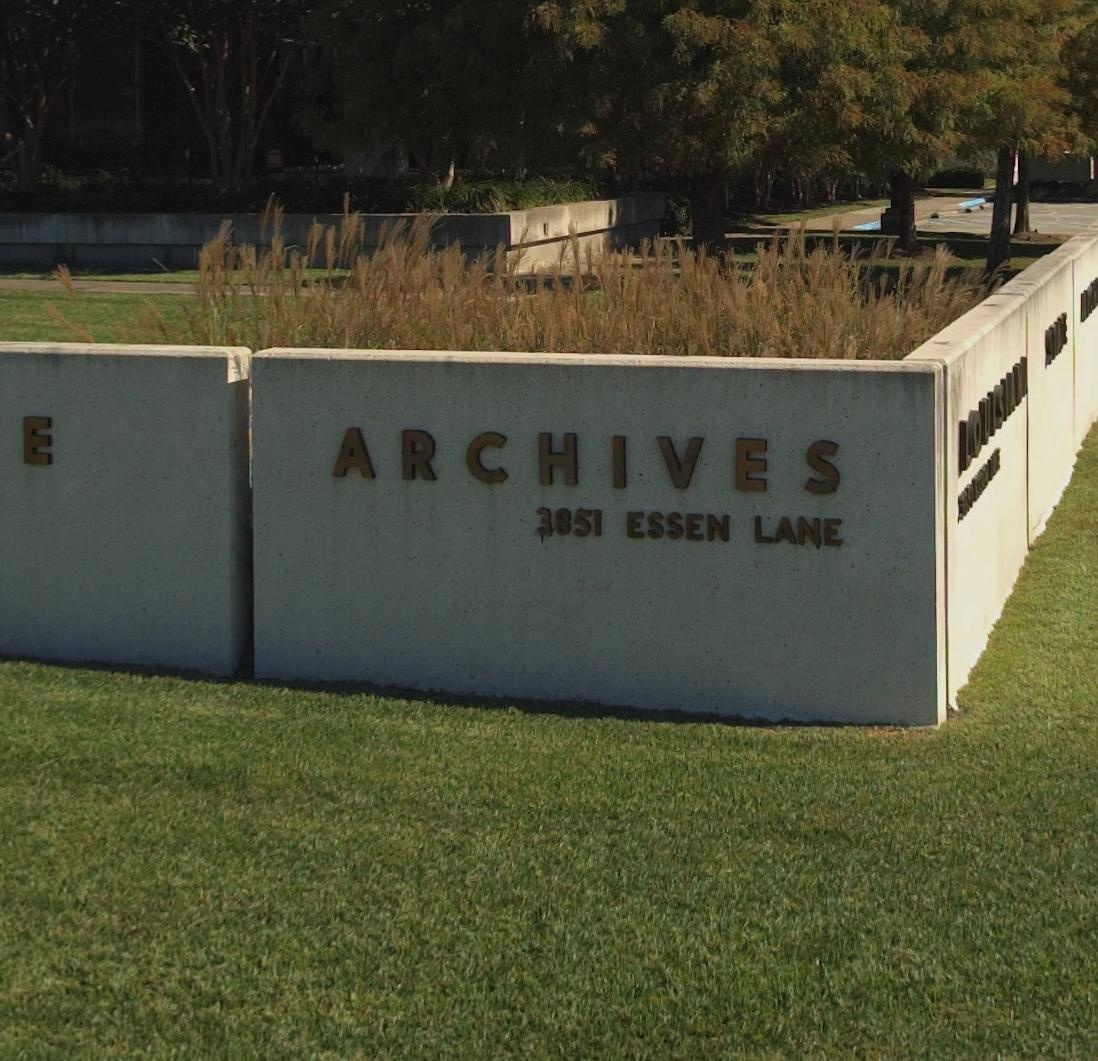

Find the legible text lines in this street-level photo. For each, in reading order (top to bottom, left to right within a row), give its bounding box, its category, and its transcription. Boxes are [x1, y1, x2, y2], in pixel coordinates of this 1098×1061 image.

[1042, 308, 1070, 374] BusinessName: STATE
[20, 413, 56, 468] None: E
[323, 420, 846, 499] BusinessName: ARCHIVES
[955, 351, 1032, 477] BusinessName: LOUISIANA
[533, 504, 605, 540] StreetNumber: 3851
[623, 507, 847, 550] StreetName: ESSEN LANE